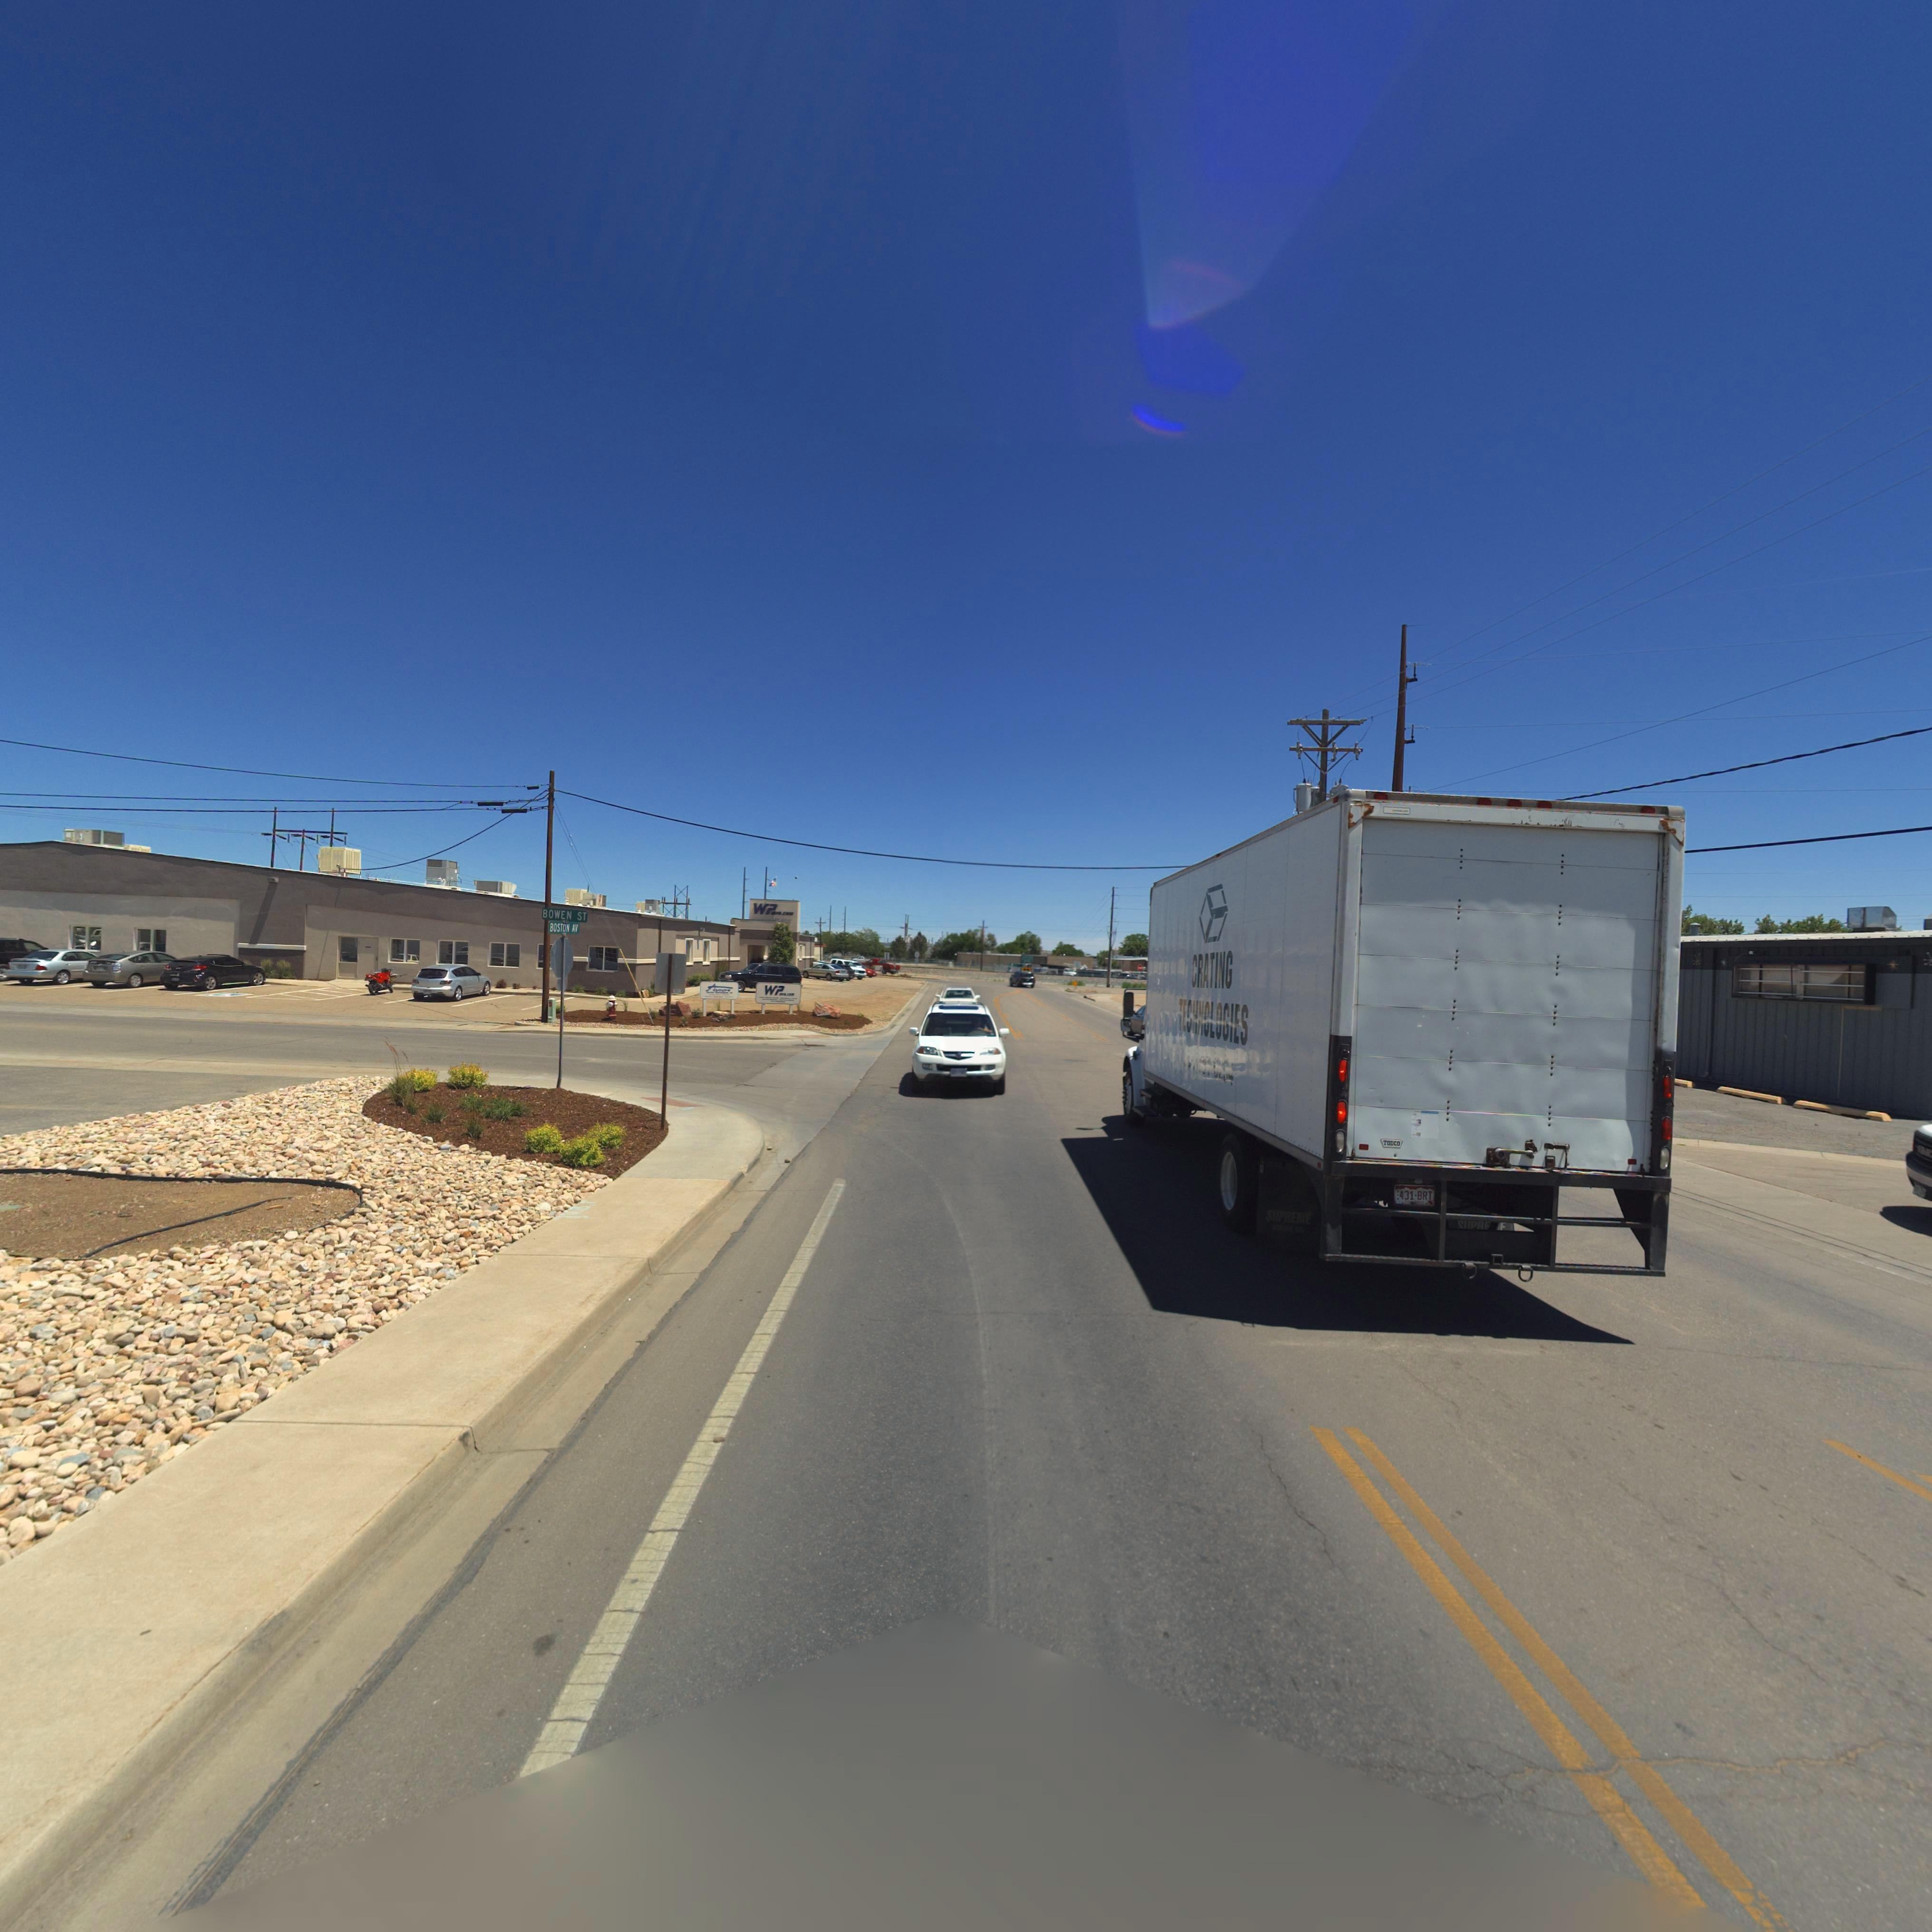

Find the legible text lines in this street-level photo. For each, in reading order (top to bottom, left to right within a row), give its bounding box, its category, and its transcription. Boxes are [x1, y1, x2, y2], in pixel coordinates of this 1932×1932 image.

[753, 903, 778, 914] StreetNumber: WP
[542, 909, 587, 920] StreetName: BOWEN ST
[549, 923, 579, 932] StreetName: BOSTON AV
[705, 983, 731, 992] BusinessName: Avion
[764, 985, 785, 995] BusinessName: WP